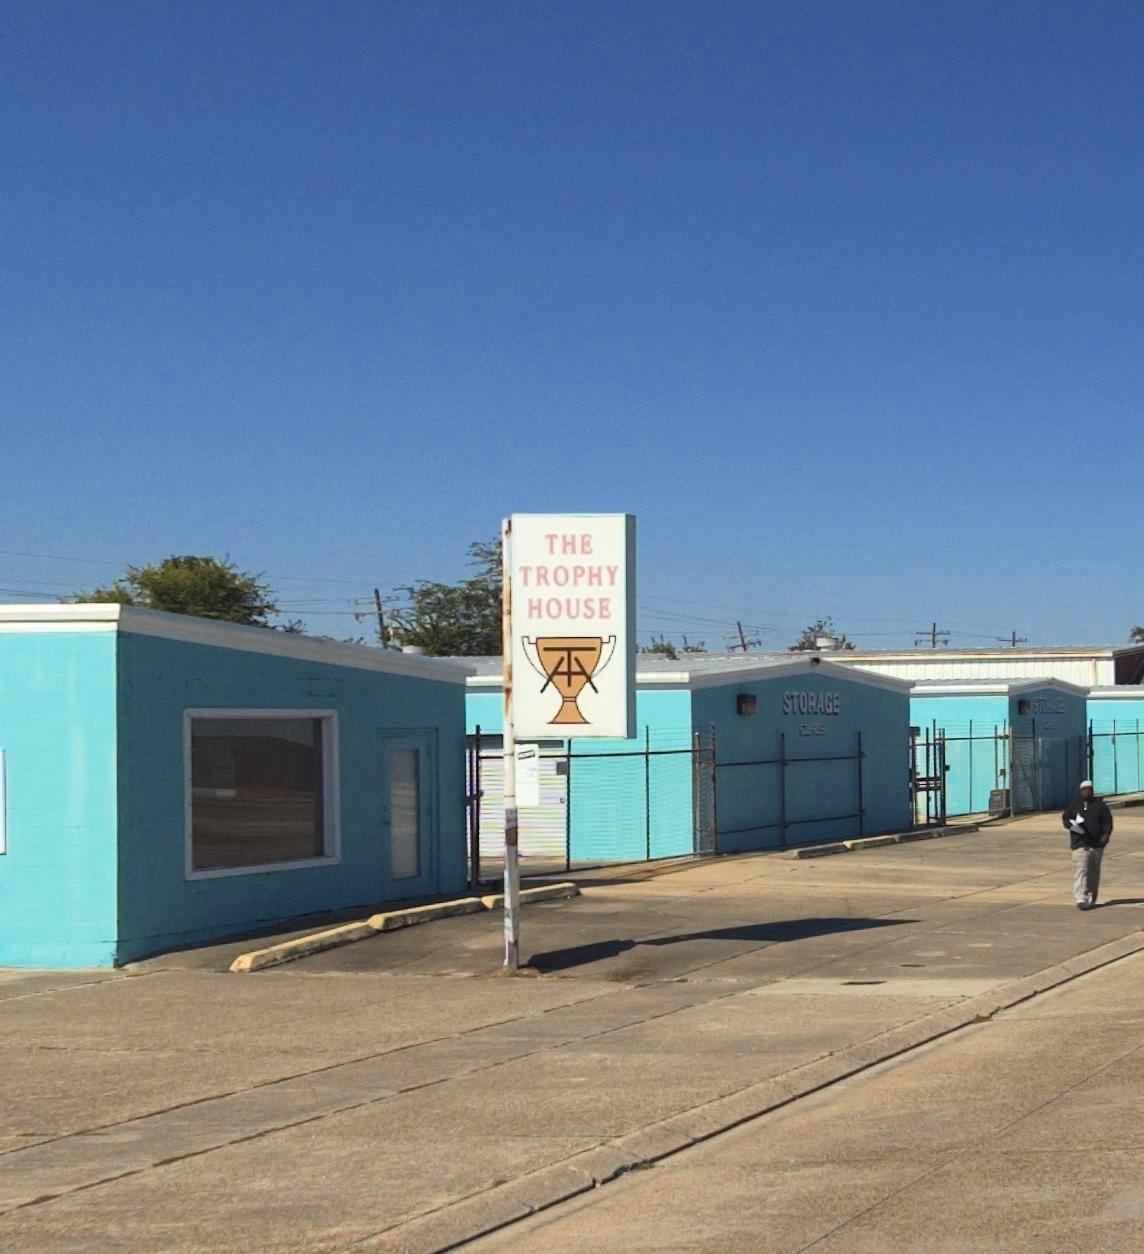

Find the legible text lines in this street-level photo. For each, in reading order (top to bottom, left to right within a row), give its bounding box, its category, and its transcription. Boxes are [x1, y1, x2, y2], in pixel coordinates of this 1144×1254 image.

[542, 529, 594, 558] BusinessName: THE
[515, 561, 625, 590] BusinessName: TROPHY
[524, 594, 615, 622] BusinessName: HOUSE
[780, 688, 843, 717] None: STORAGE
[1030, 694, 1068, 715] None: STORAGE